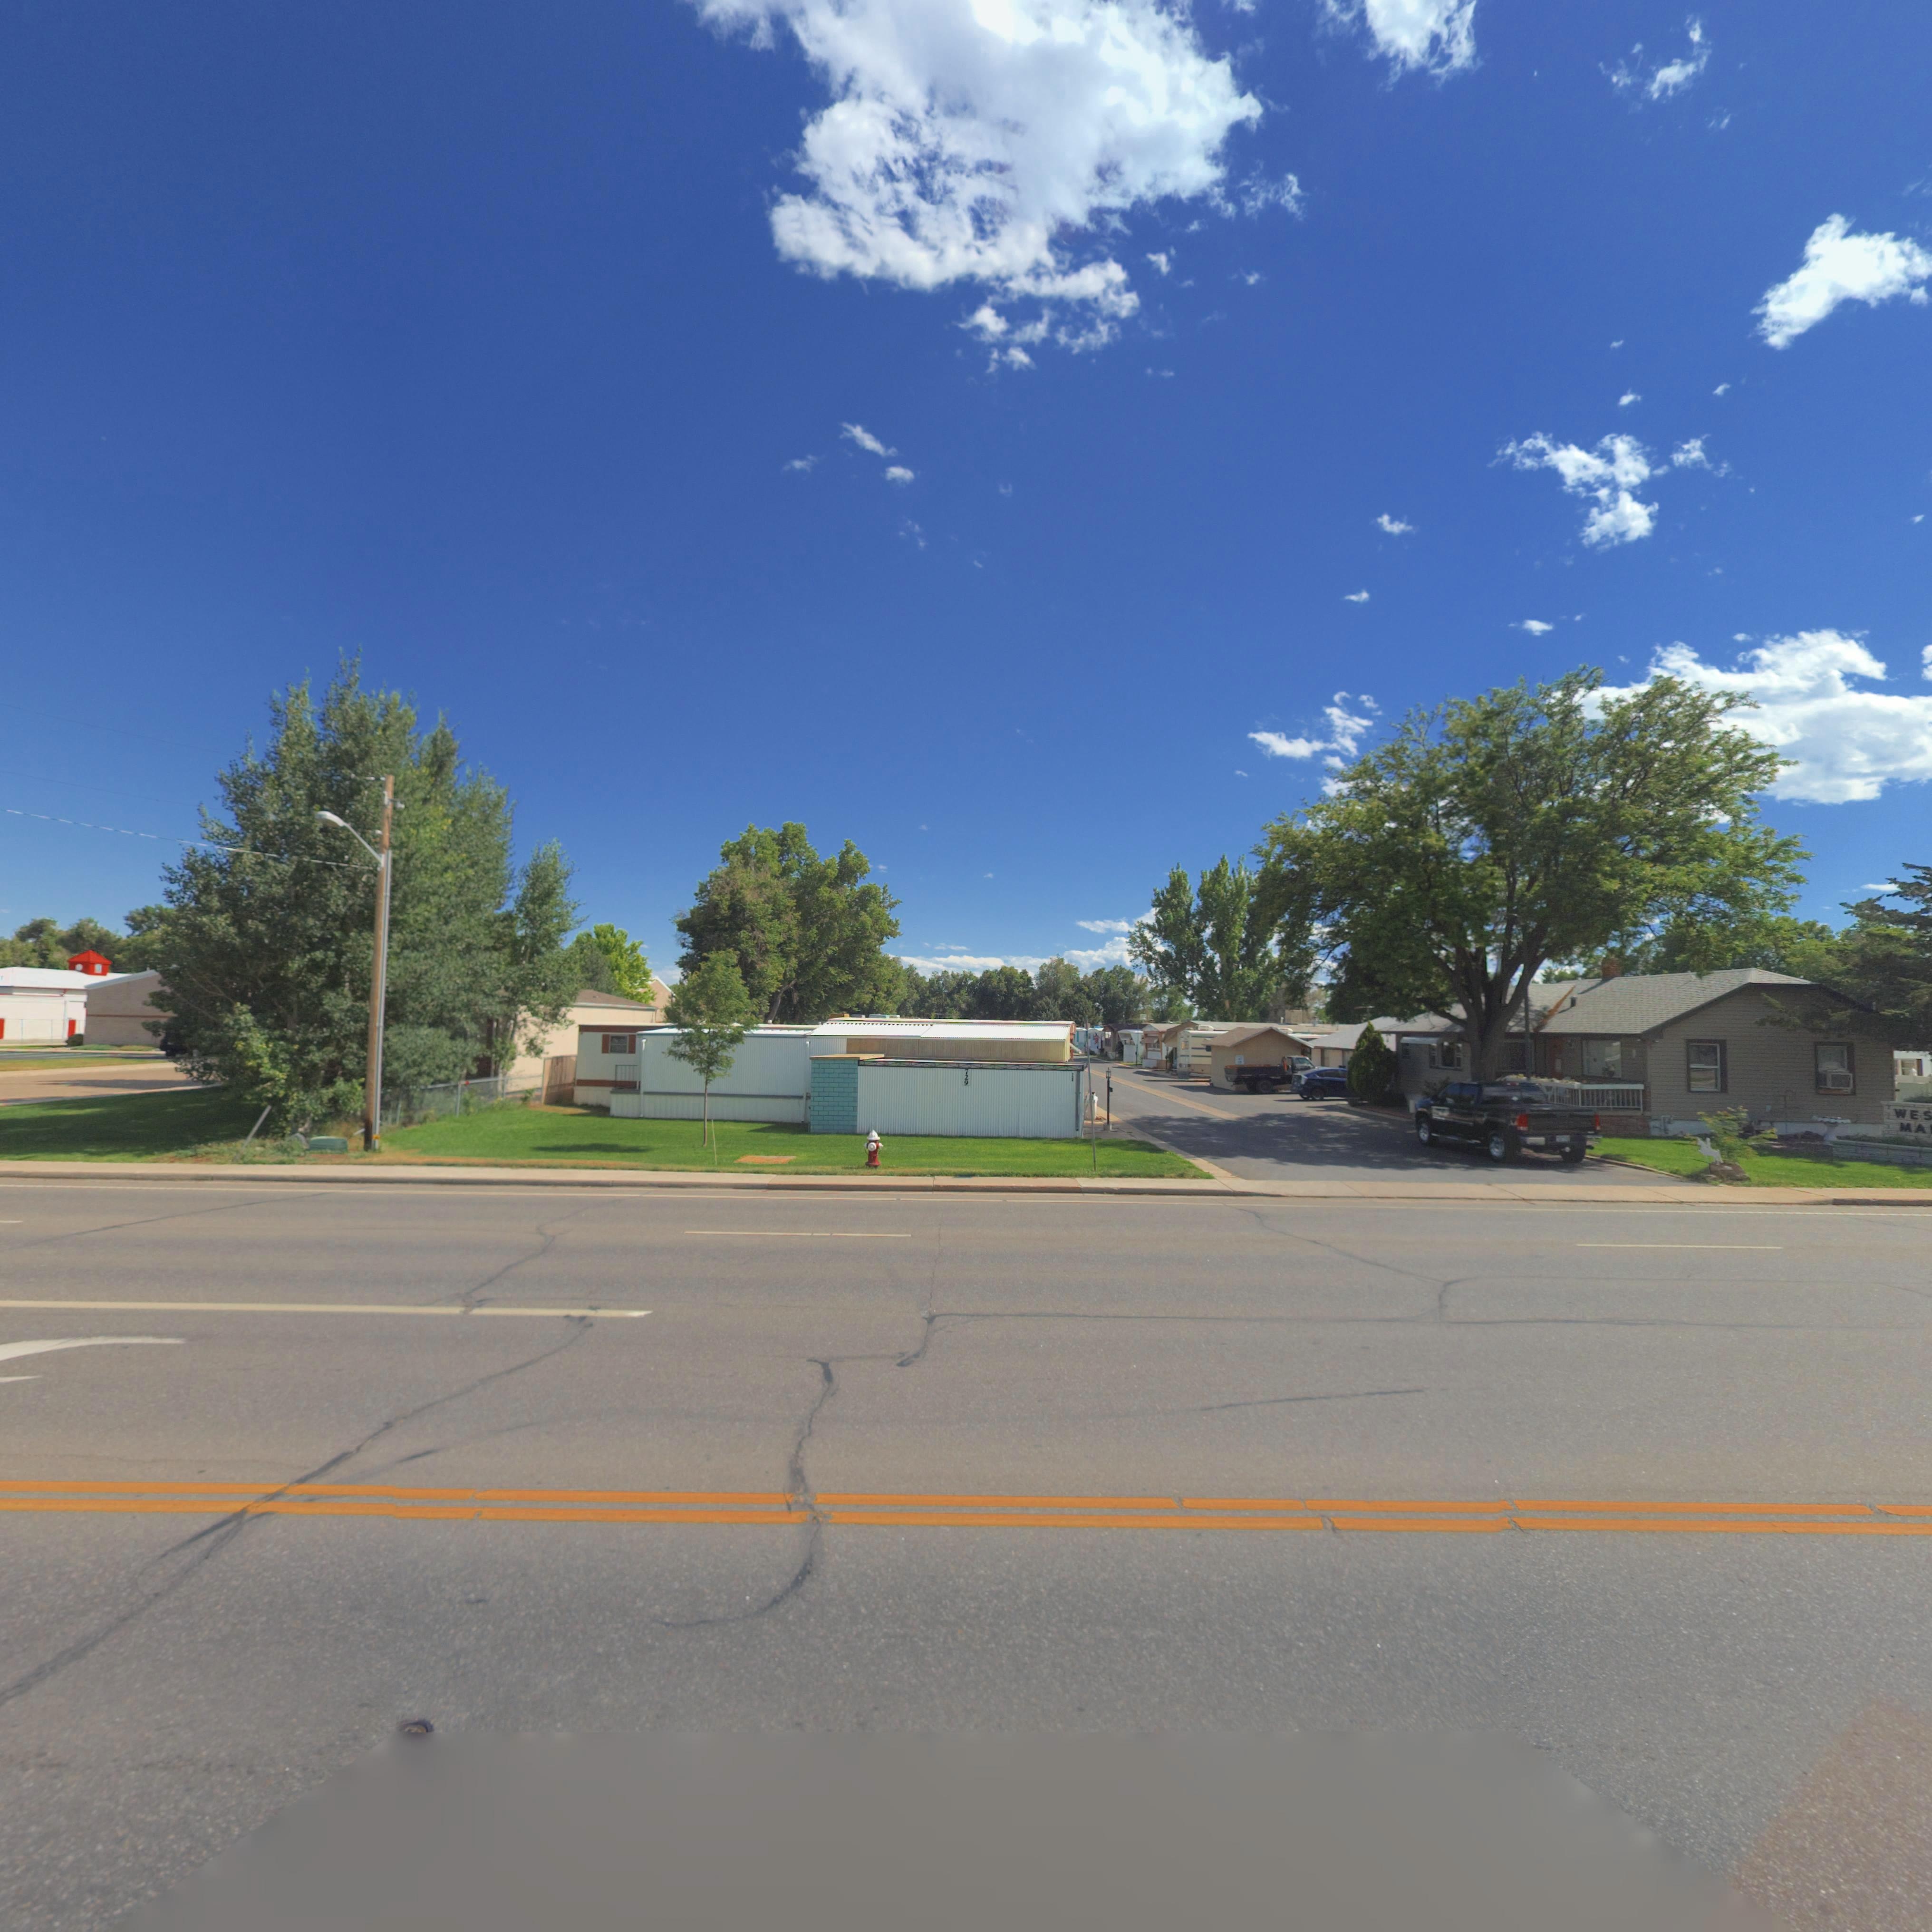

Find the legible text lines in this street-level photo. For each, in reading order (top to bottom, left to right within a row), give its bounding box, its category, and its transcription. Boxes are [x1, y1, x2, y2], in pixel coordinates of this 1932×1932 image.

[964, 1068, 968, 1086] StreetNumber: 729